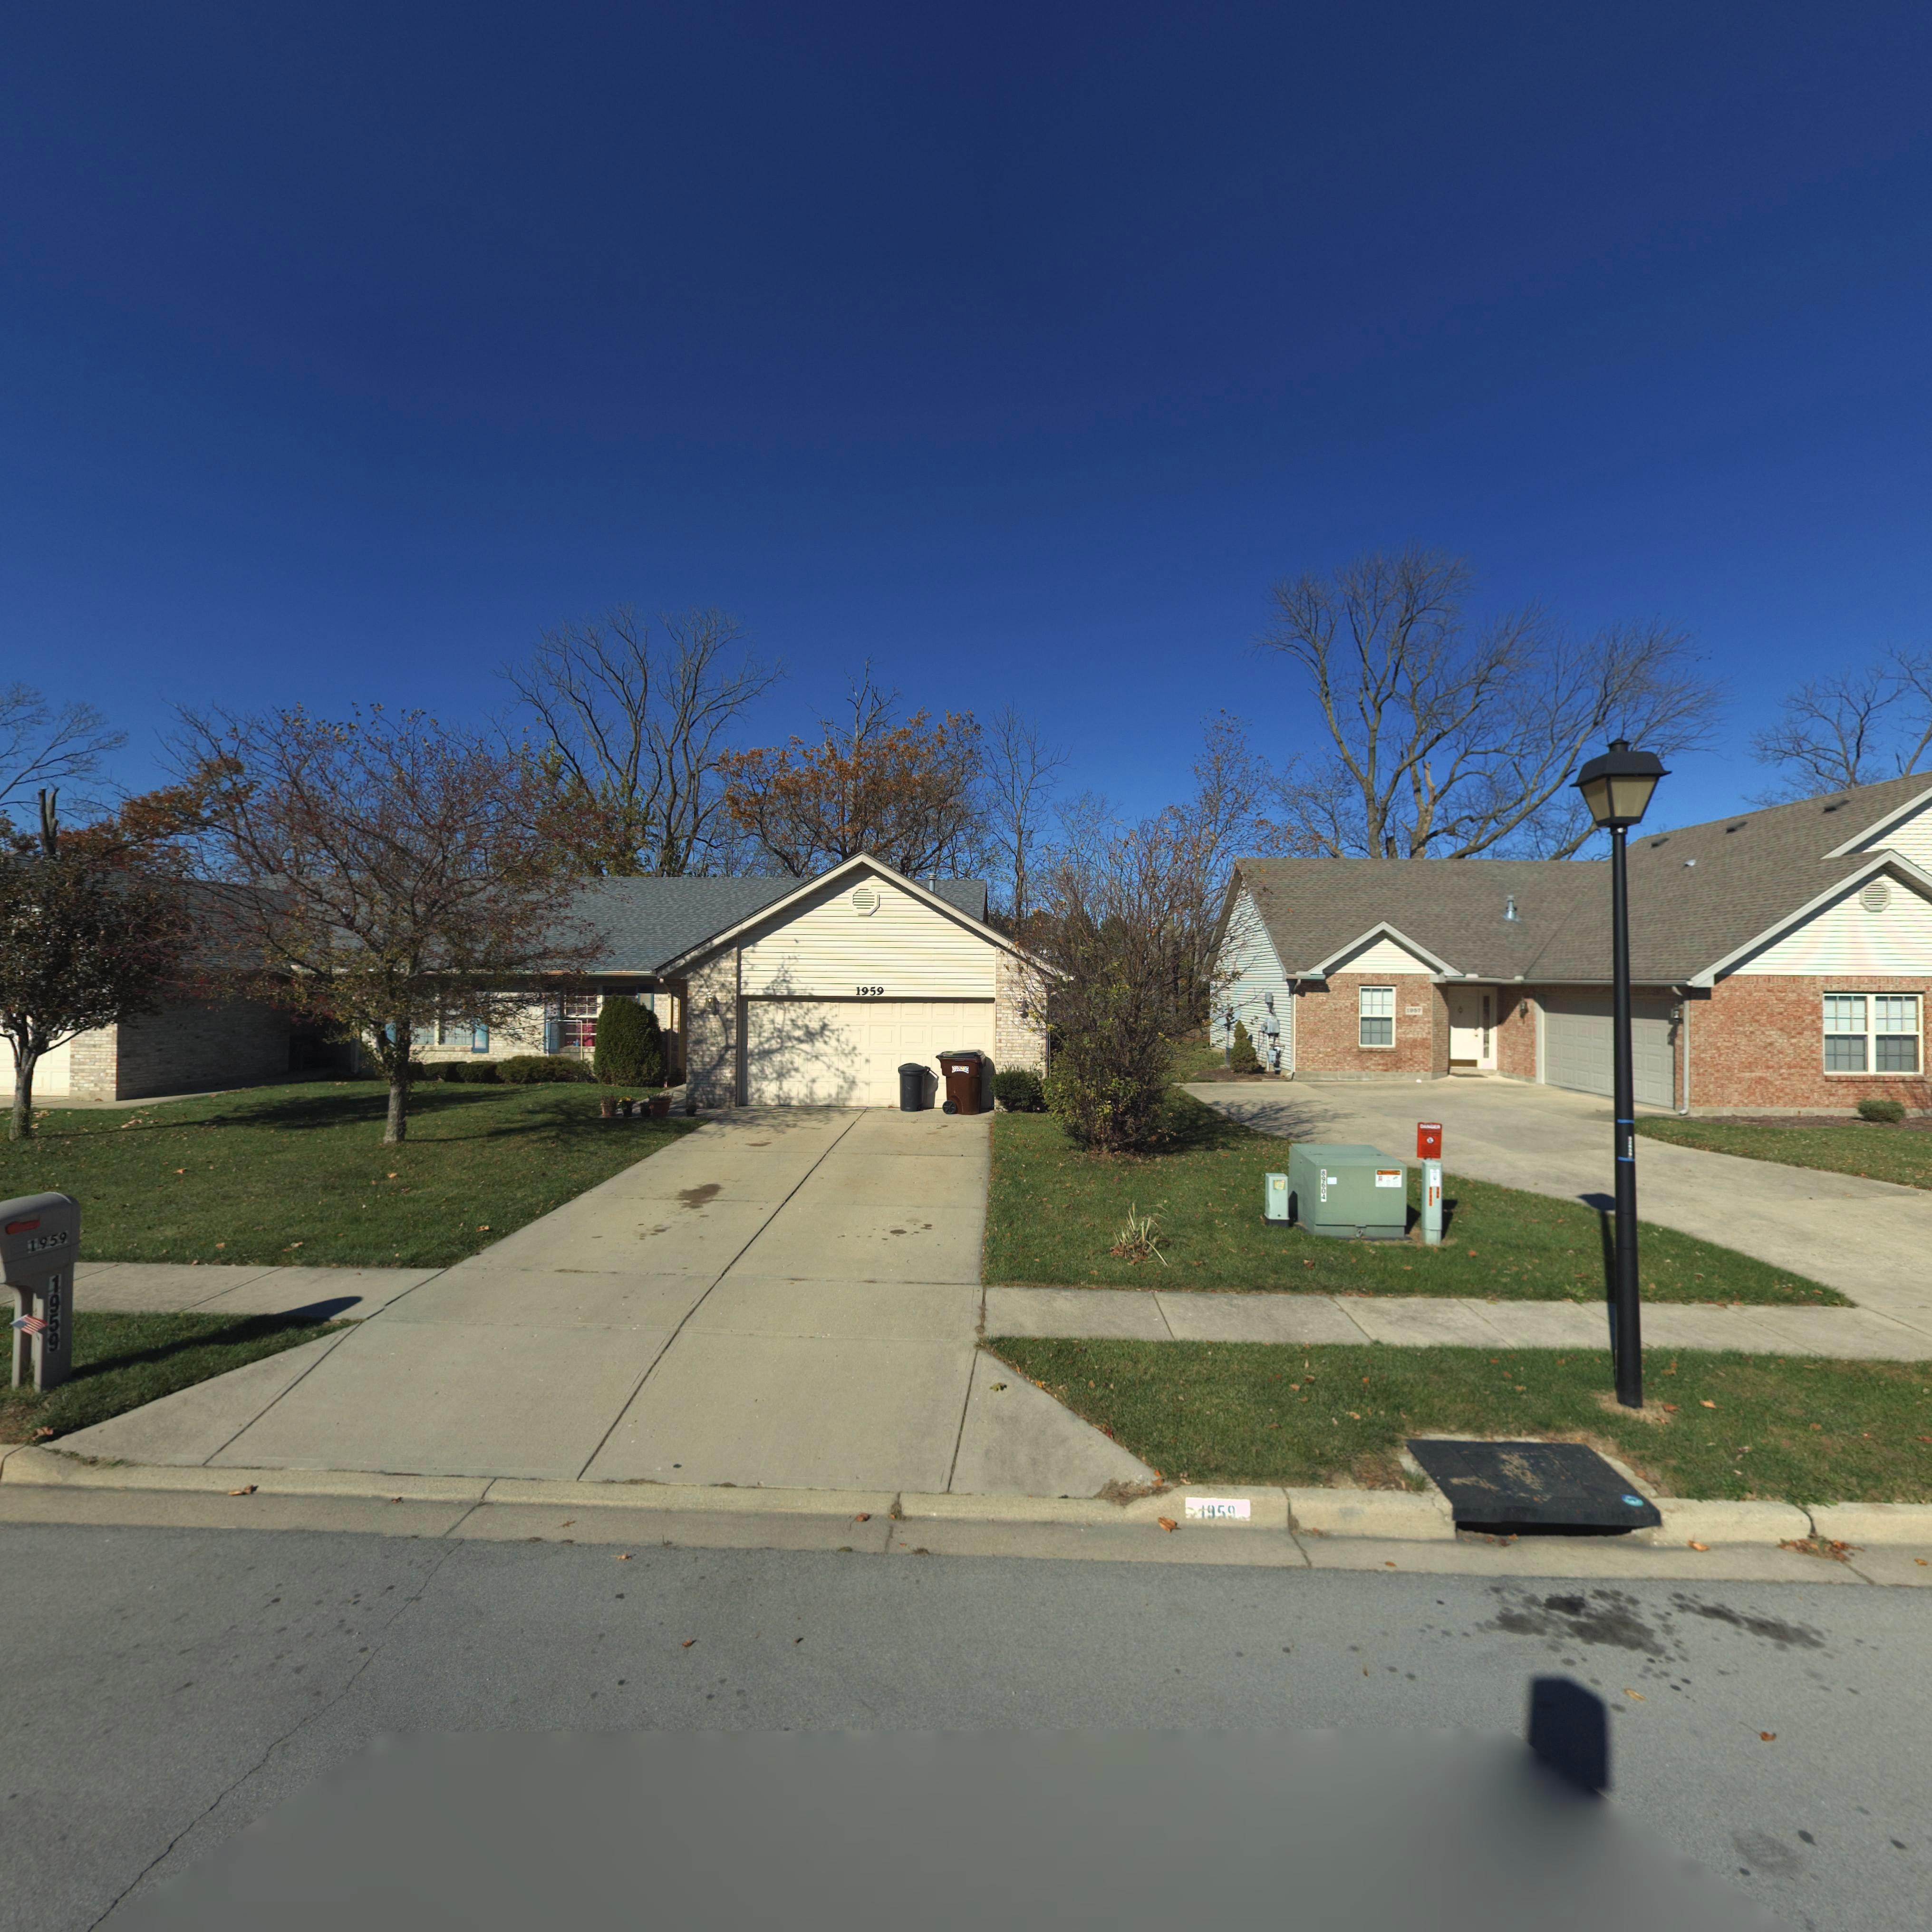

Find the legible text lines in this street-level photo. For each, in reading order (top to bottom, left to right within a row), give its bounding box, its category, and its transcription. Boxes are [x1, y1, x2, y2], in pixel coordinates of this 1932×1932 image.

[855, 985, 885, 996] StreetNumber: 1959
[1406, 1007, 1422, 1014] StreetNumber: 1**7
[29, 1229, 68, 1255] StreetNumber: 1959
[48, 1273, 61, 1355] StreetNumber: 1959
[1199, 1503, 1239, 1521] StreetNumber: 1959